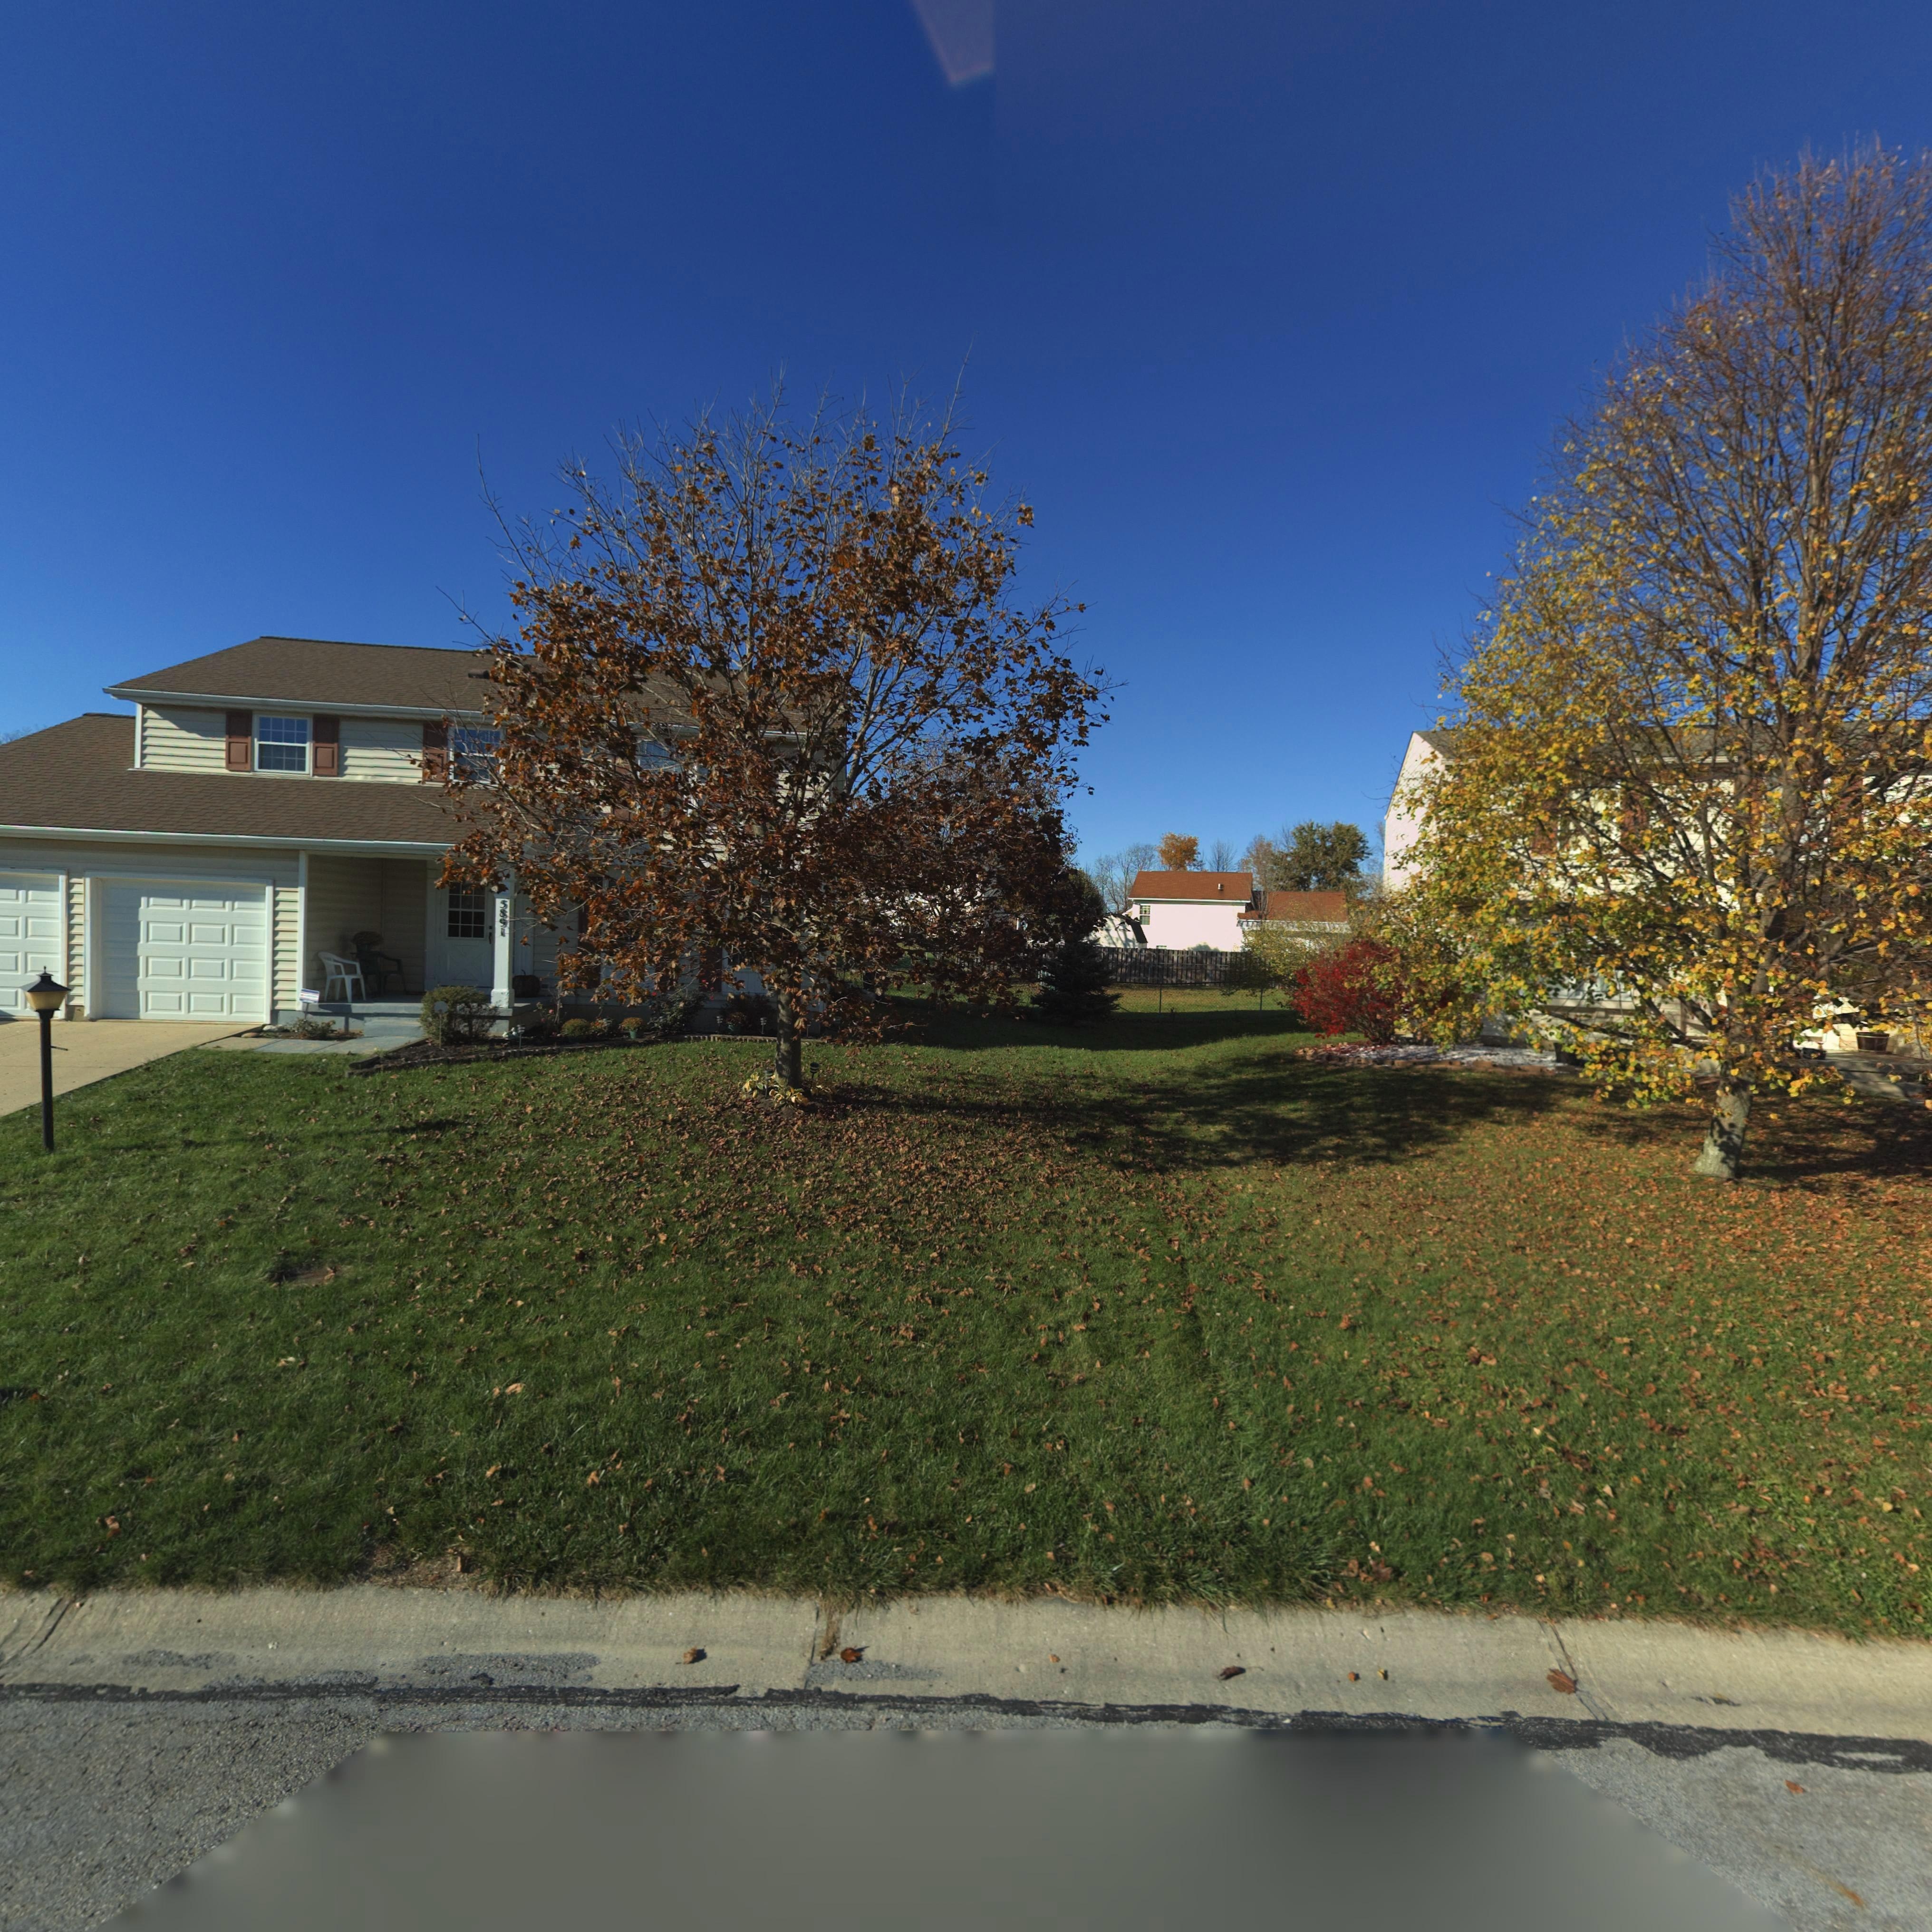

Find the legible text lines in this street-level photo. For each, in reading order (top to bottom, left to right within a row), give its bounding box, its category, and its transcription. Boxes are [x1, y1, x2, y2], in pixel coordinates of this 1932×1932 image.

[498, 899, 507, 938] StreetNumber: 5891